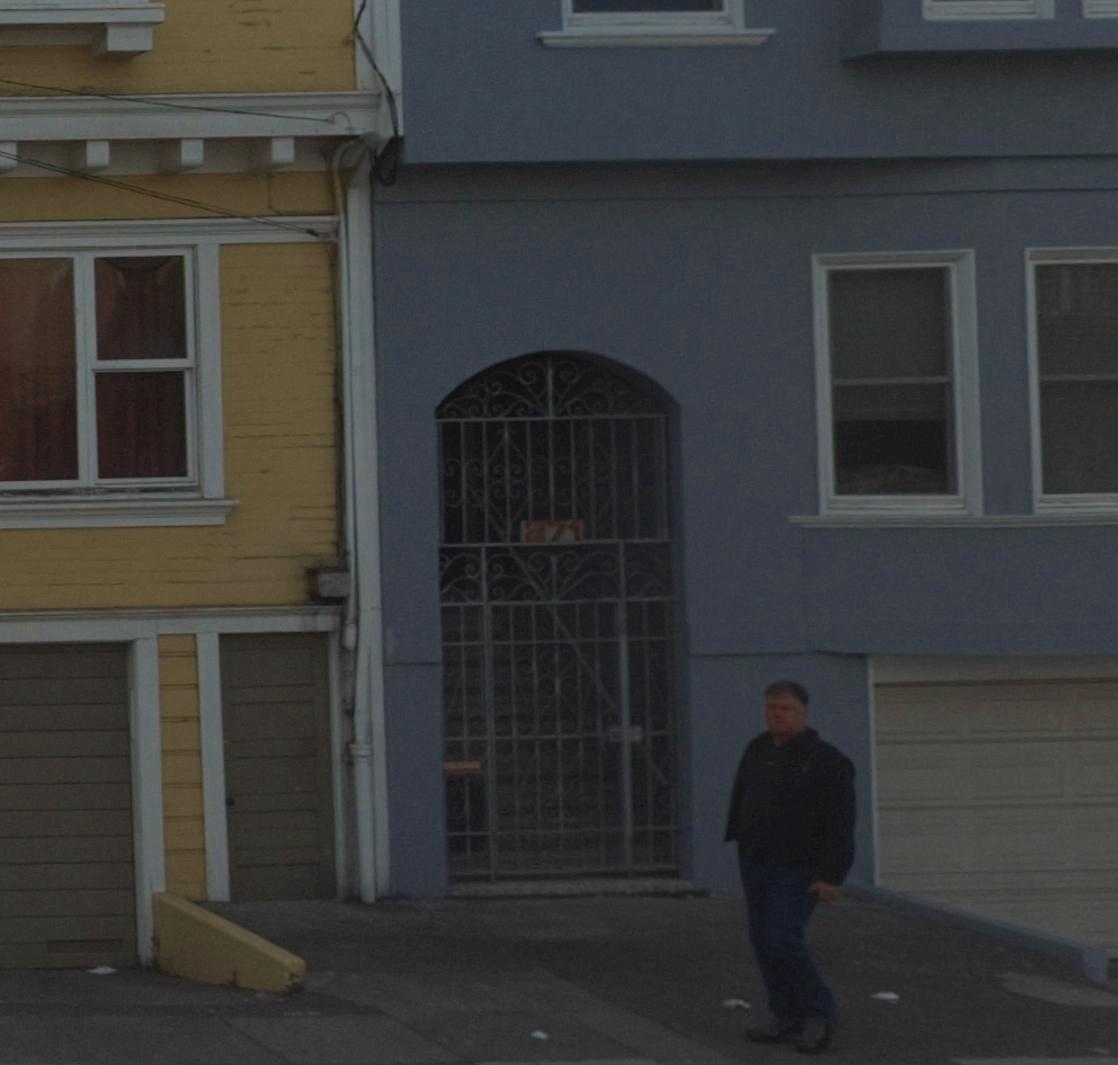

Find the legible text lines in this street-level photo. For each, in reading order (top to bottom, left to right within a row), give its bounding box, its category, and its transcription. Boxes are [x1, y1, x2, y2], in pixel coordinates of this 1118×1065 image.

[521, 519, 583, 544] StreetNumber: 271